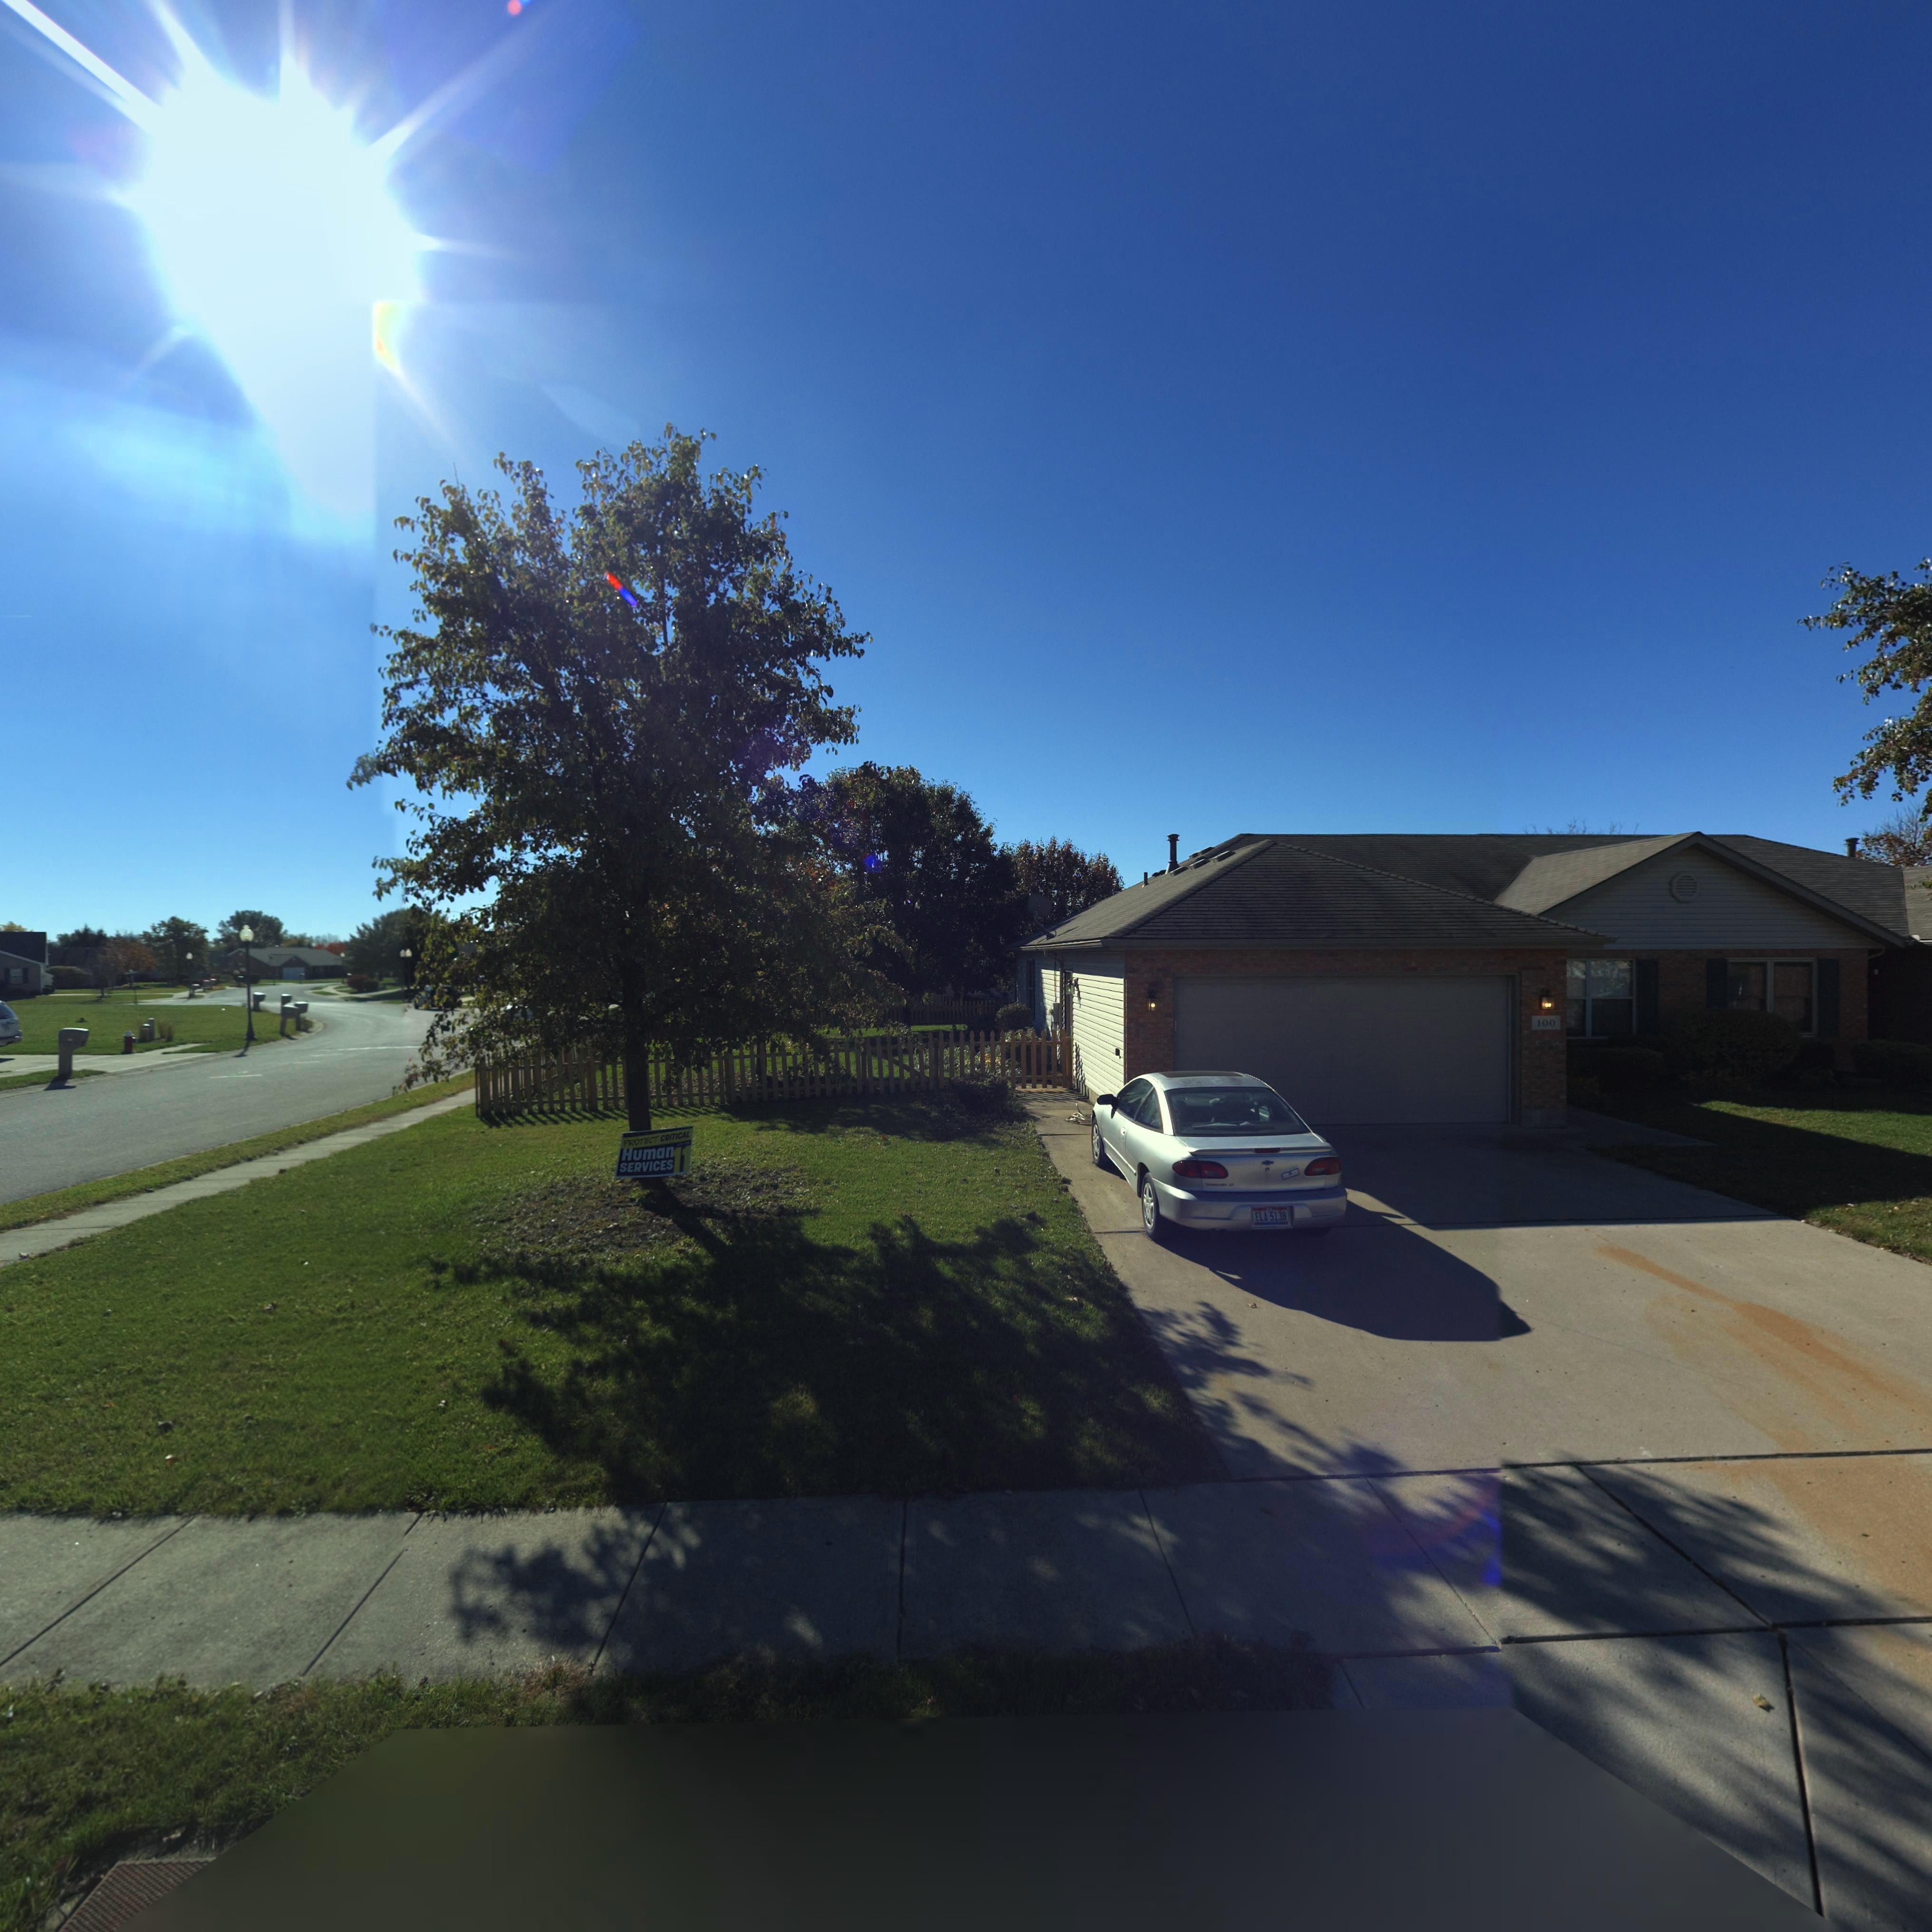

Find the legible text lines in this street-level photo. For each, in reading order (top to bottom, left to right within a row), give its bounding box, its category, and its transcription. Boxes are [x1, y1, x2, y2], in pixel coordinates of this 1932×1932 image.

[1537, 1019, 1555, 1027] StreetNumber: 100
[619, 1145, 676, 1163] None: Human
[616, 1157, 679, 1174] None: SERVICES
[1253, 1211, 1287, 1222] None: ELA 5138